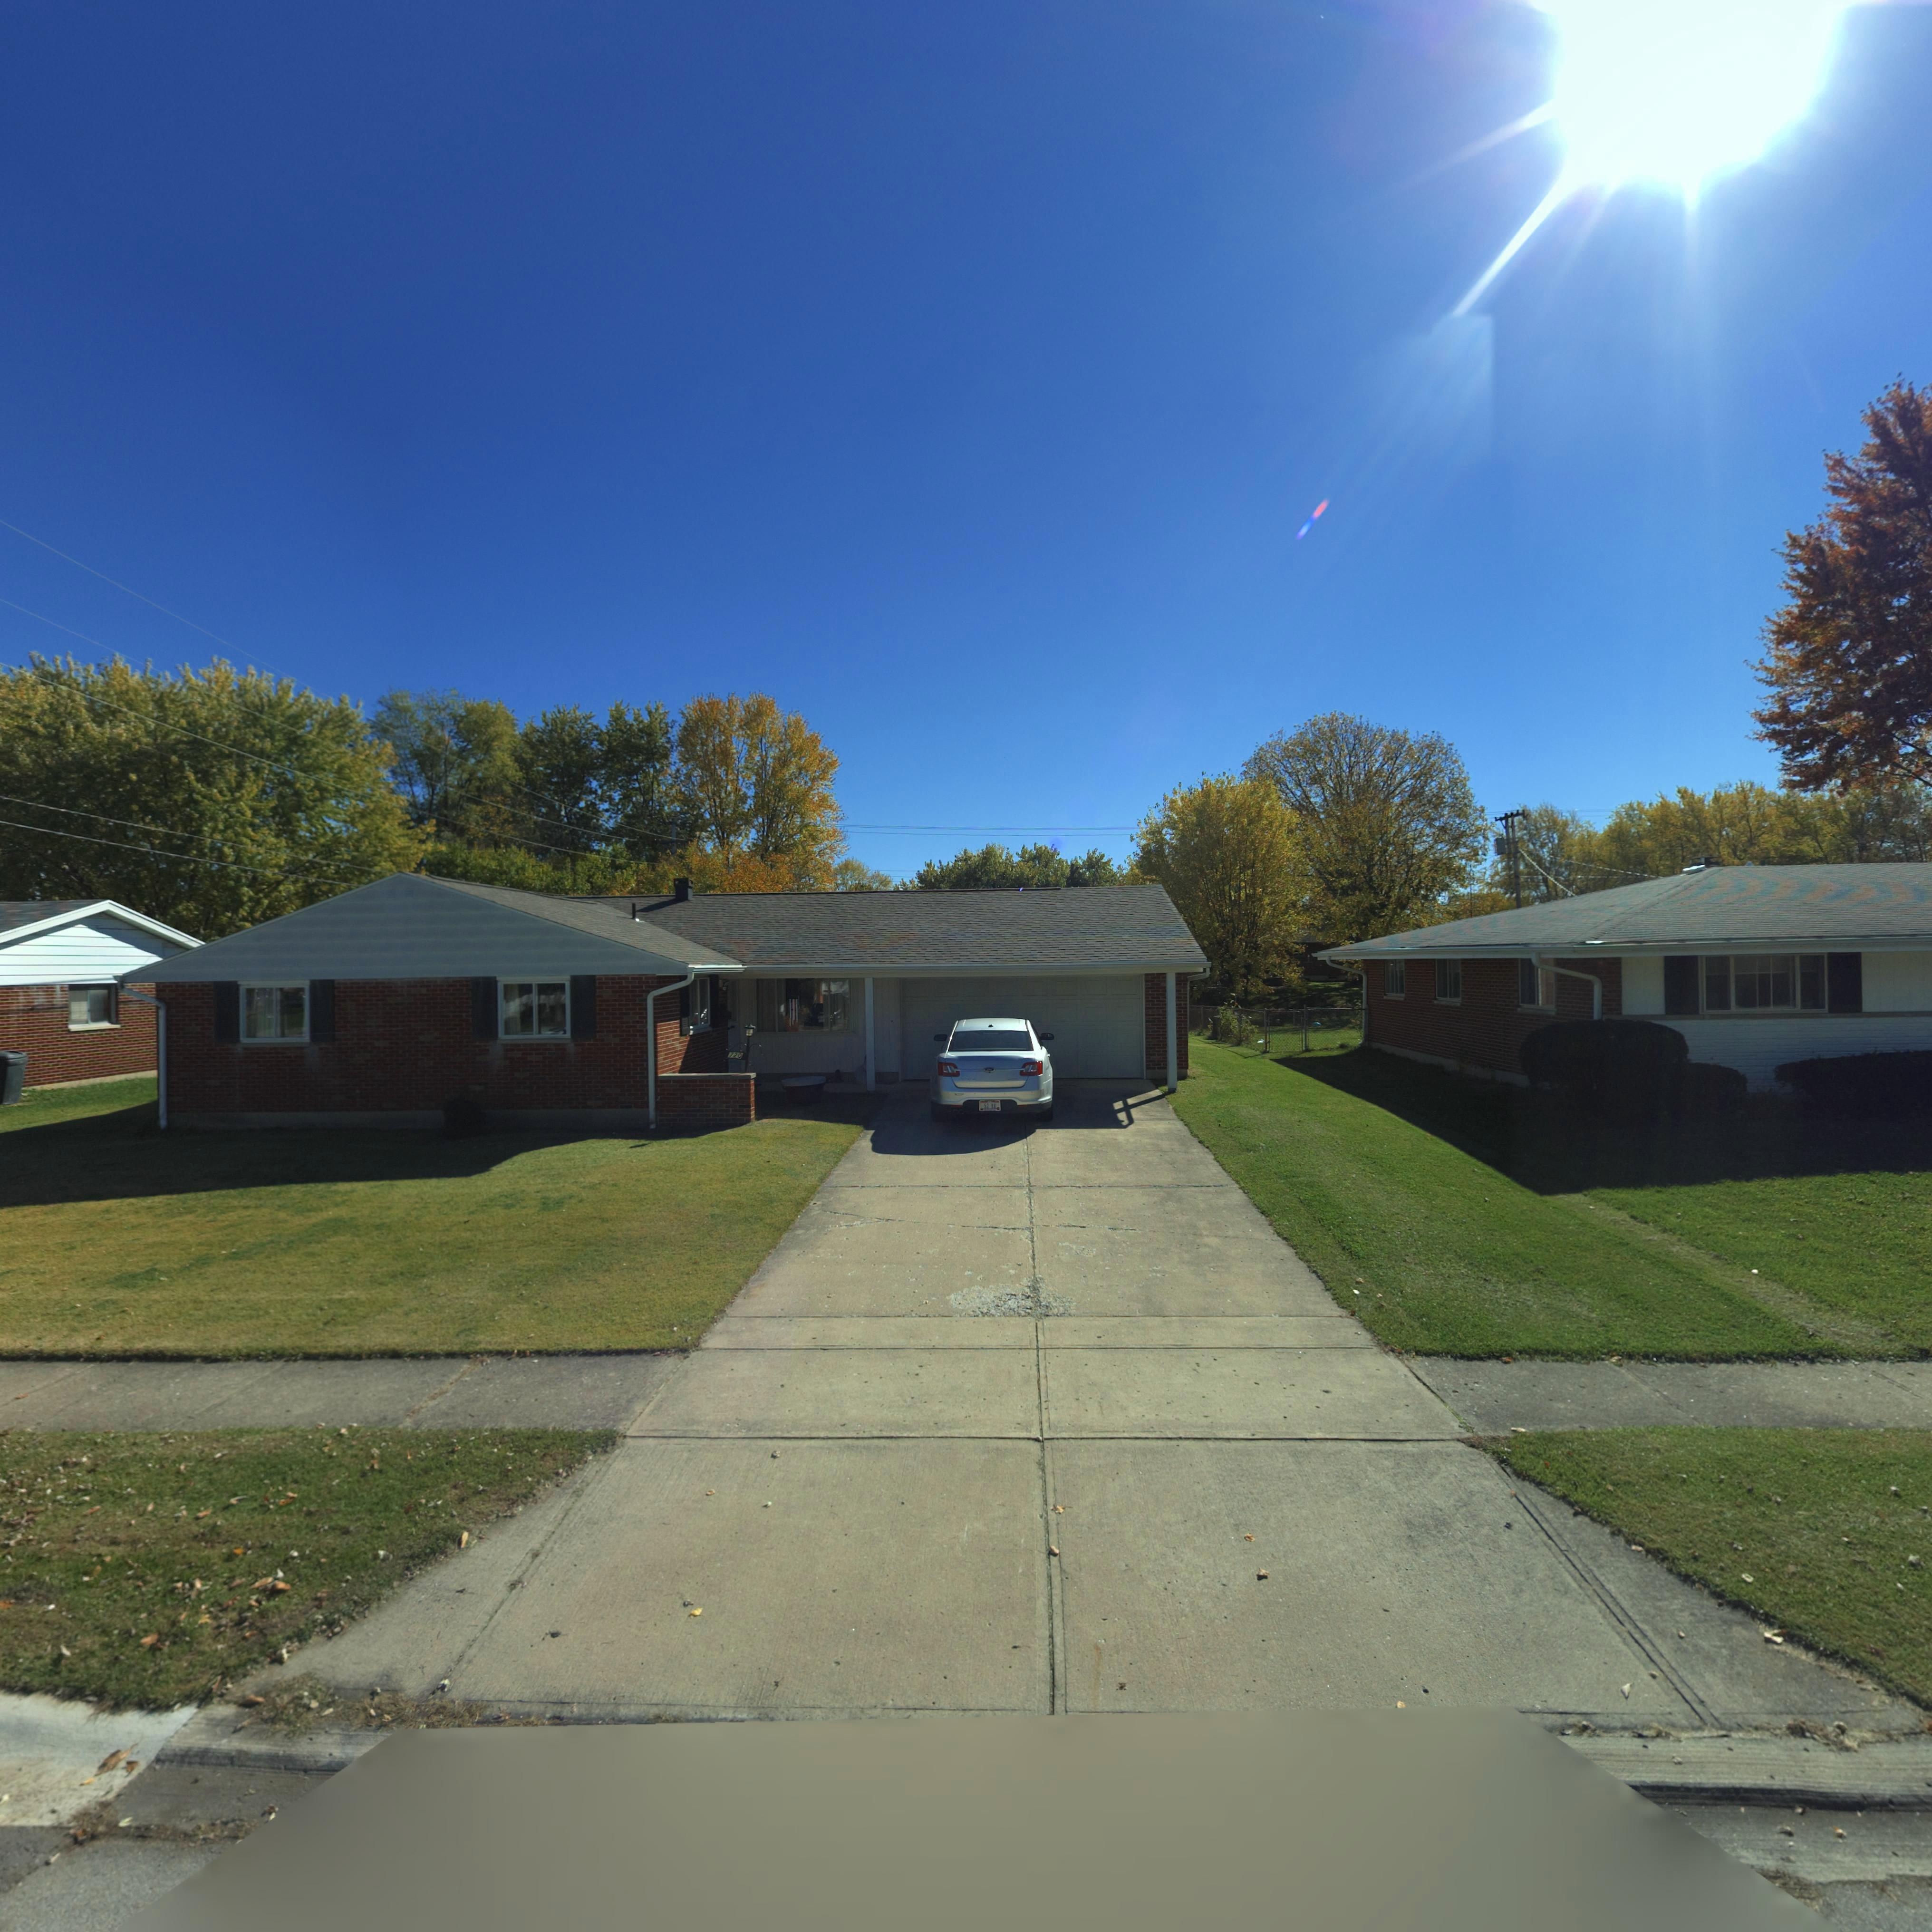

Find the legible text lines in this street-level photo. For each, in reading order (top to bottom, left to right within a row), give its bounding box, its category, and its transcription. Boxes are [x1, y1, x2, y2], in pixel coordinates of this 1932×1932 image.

[728, 1052, 743, 1059] StreetNumber: 720
[983, 1102, 989, 1109] None: 52